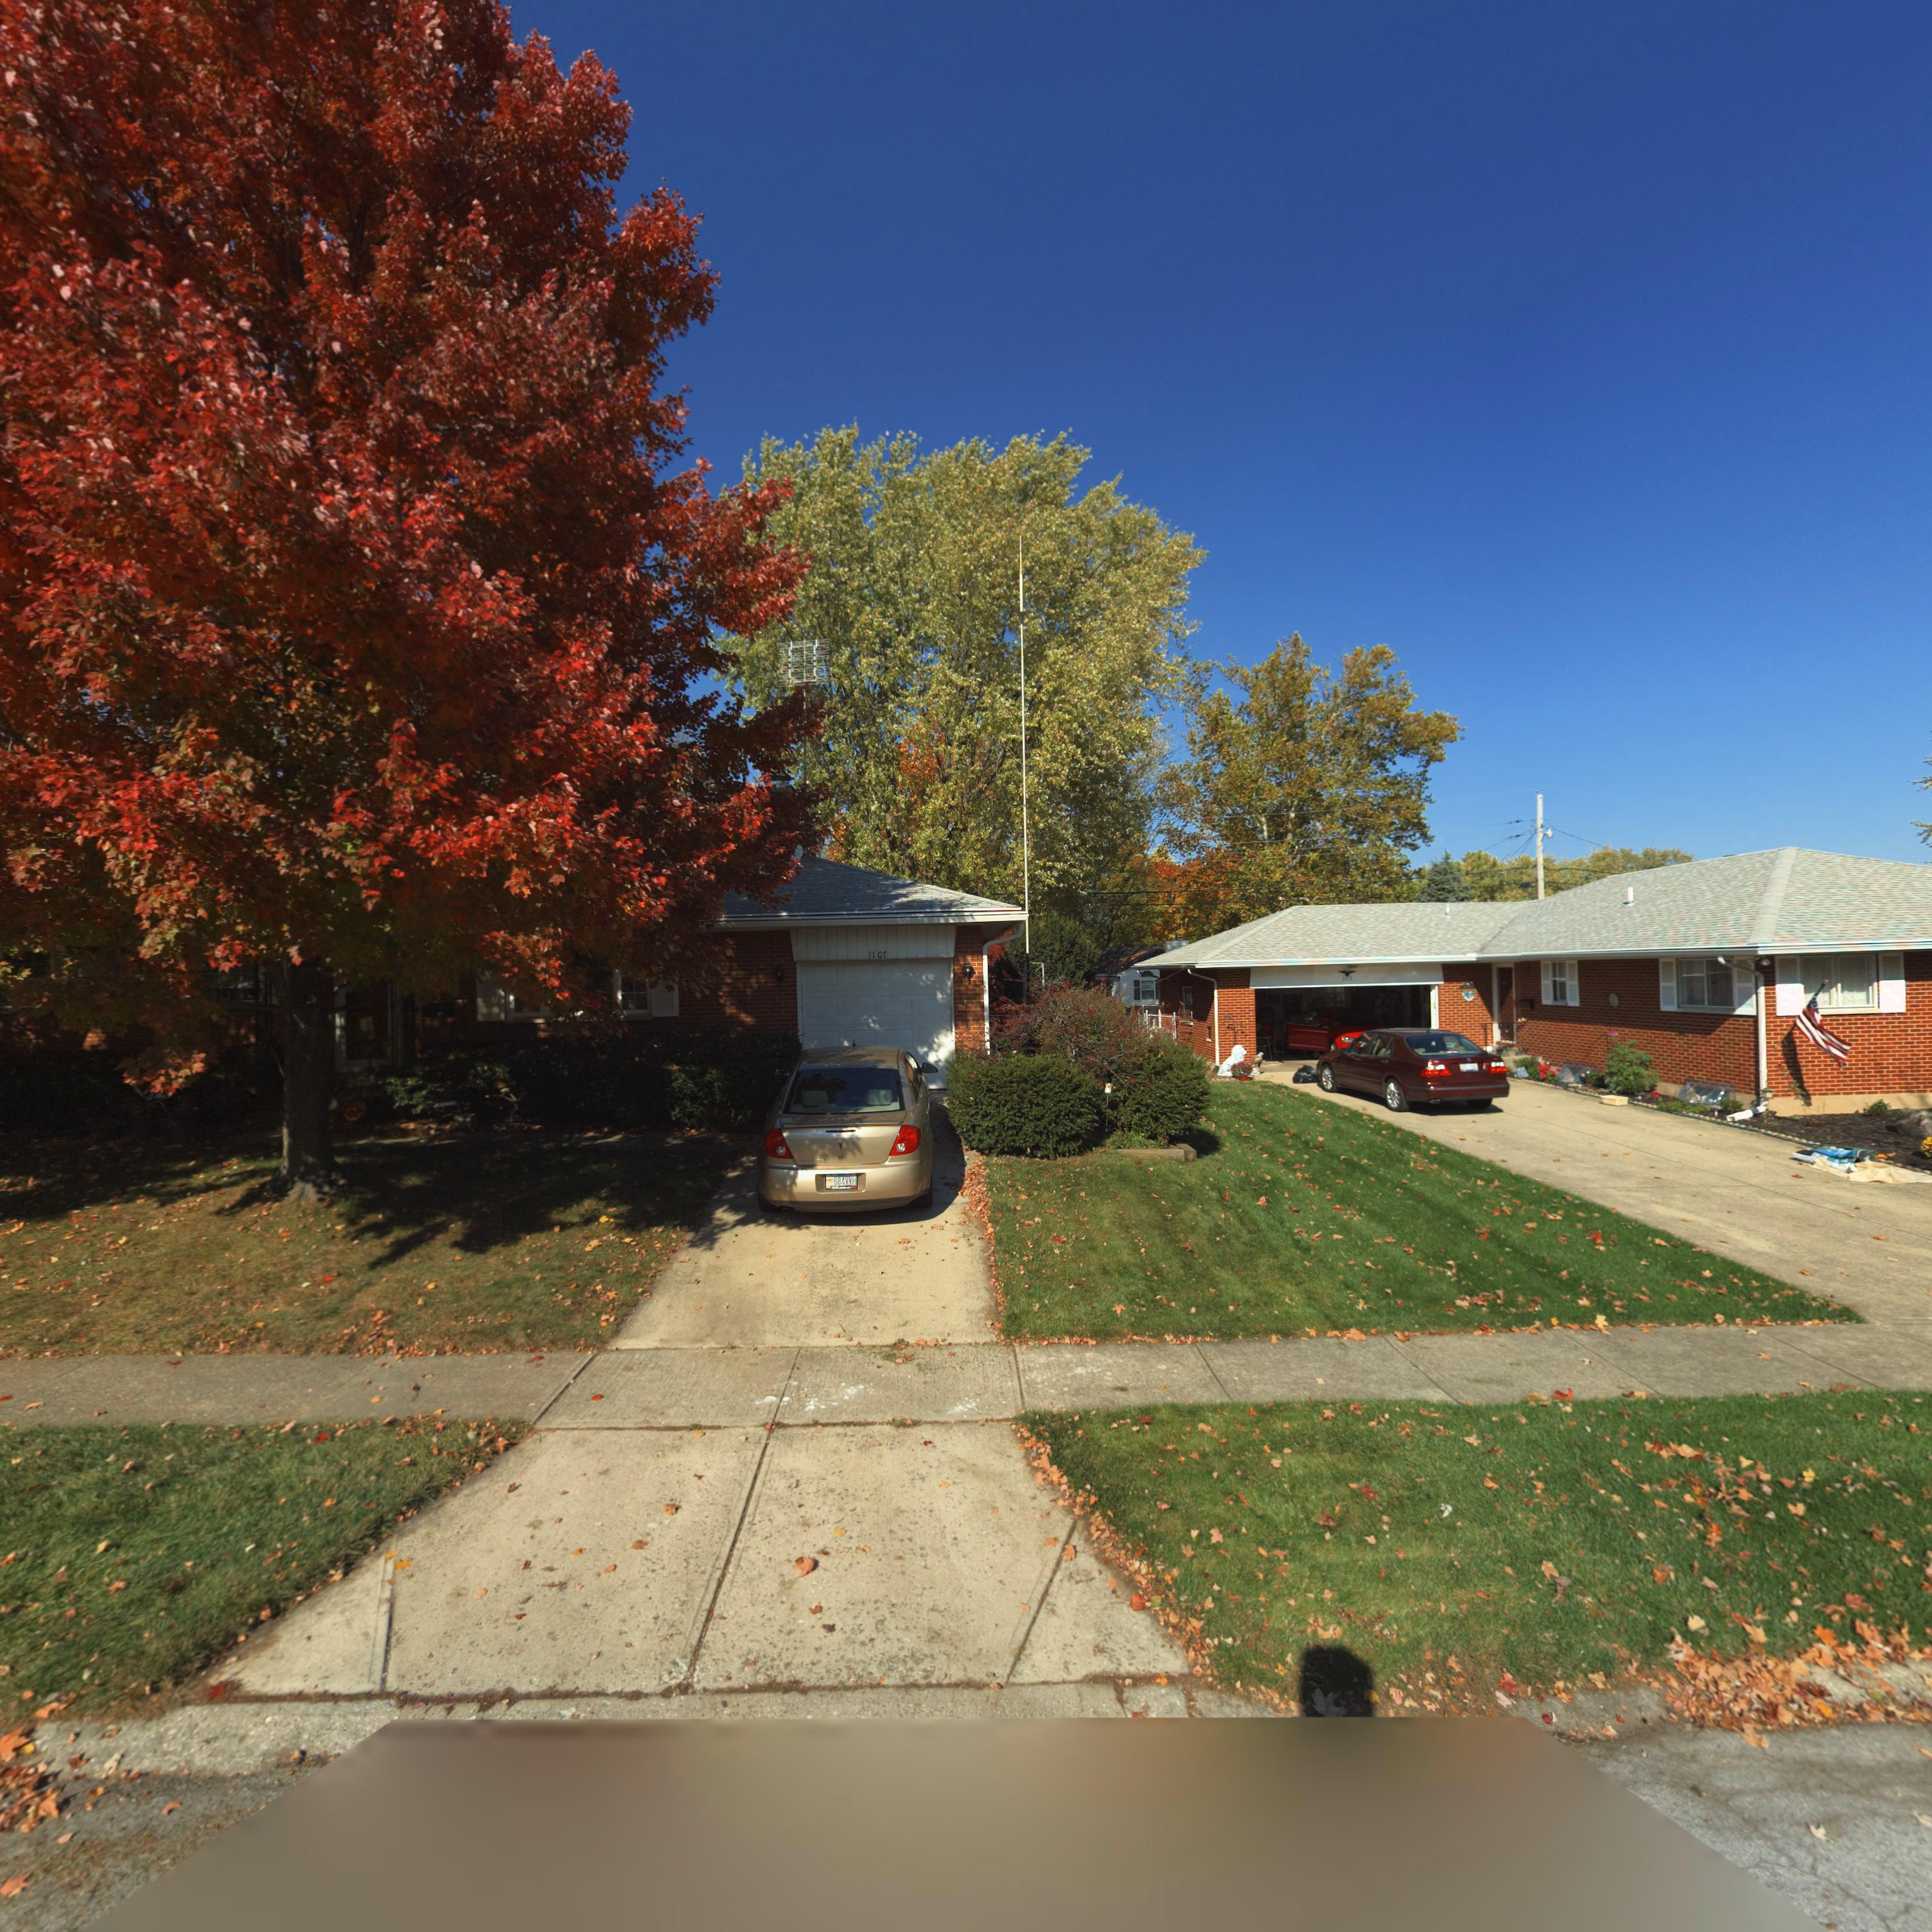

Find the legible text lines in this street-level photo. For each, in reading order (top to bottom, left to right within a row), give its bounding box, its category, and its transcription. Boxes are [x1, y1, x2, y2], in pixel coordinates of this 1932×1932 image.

[867, 949, 888, 959] StreetNumber: 1107
[1341, 975, 1354, 983] StreetNumber: 1113